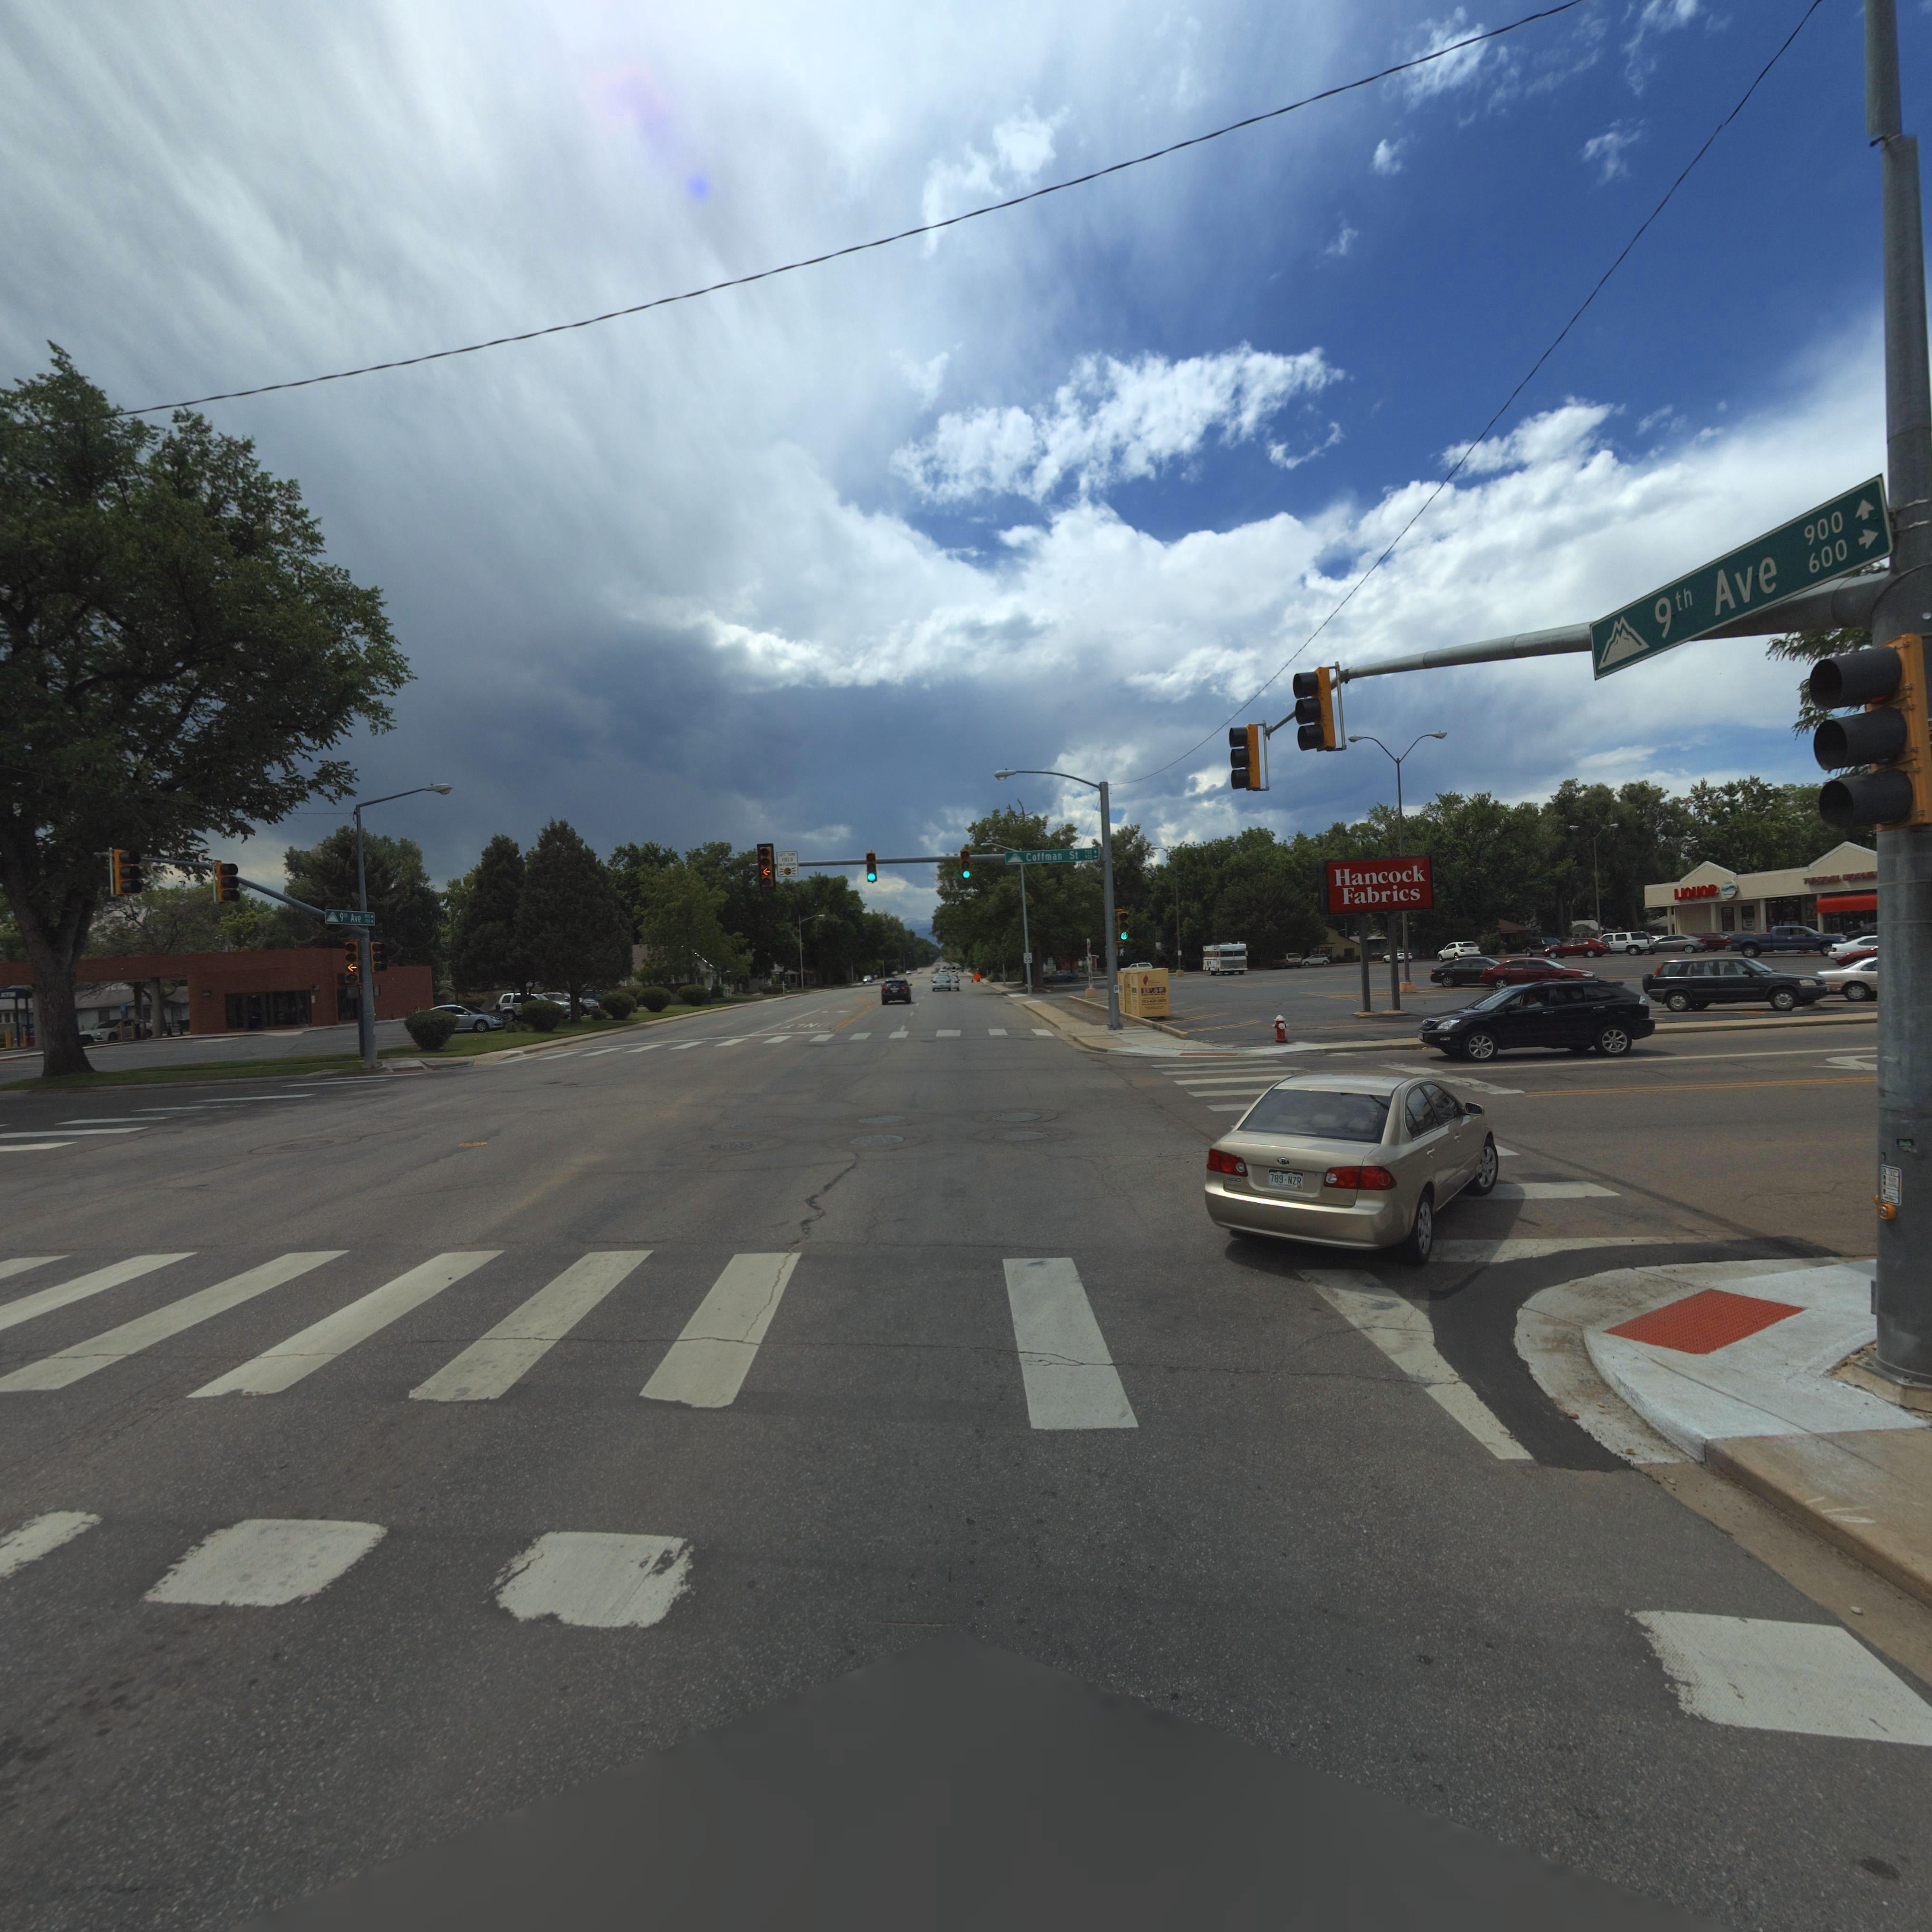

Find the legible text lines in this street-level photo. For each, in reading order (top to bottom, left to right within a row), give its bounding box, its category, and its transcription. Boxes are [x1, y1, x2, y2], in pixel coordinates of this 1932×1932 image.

[1804, 509, 1845, 546] StreetNumberRange: 900
[1806, 523, 1880, 573] StreetNumberRange: 600 ->
[1652, 556, 1780, 639] StreetName: 9th Ave
[1026, 850, 1078, 861] StreetName: Coffman St
[1084, 849, 1092, 854] StreetNumberRange: 700
[1085, 854, 1097, 859] StreetNumberRange: 900 ->
[1334, 865, 1426, 887] BusinessName: Hancock
[1342, 885, 1420, 905] BusinessName: Fabrics
[340, 913, 361, 922] StreetName: 9th Ave